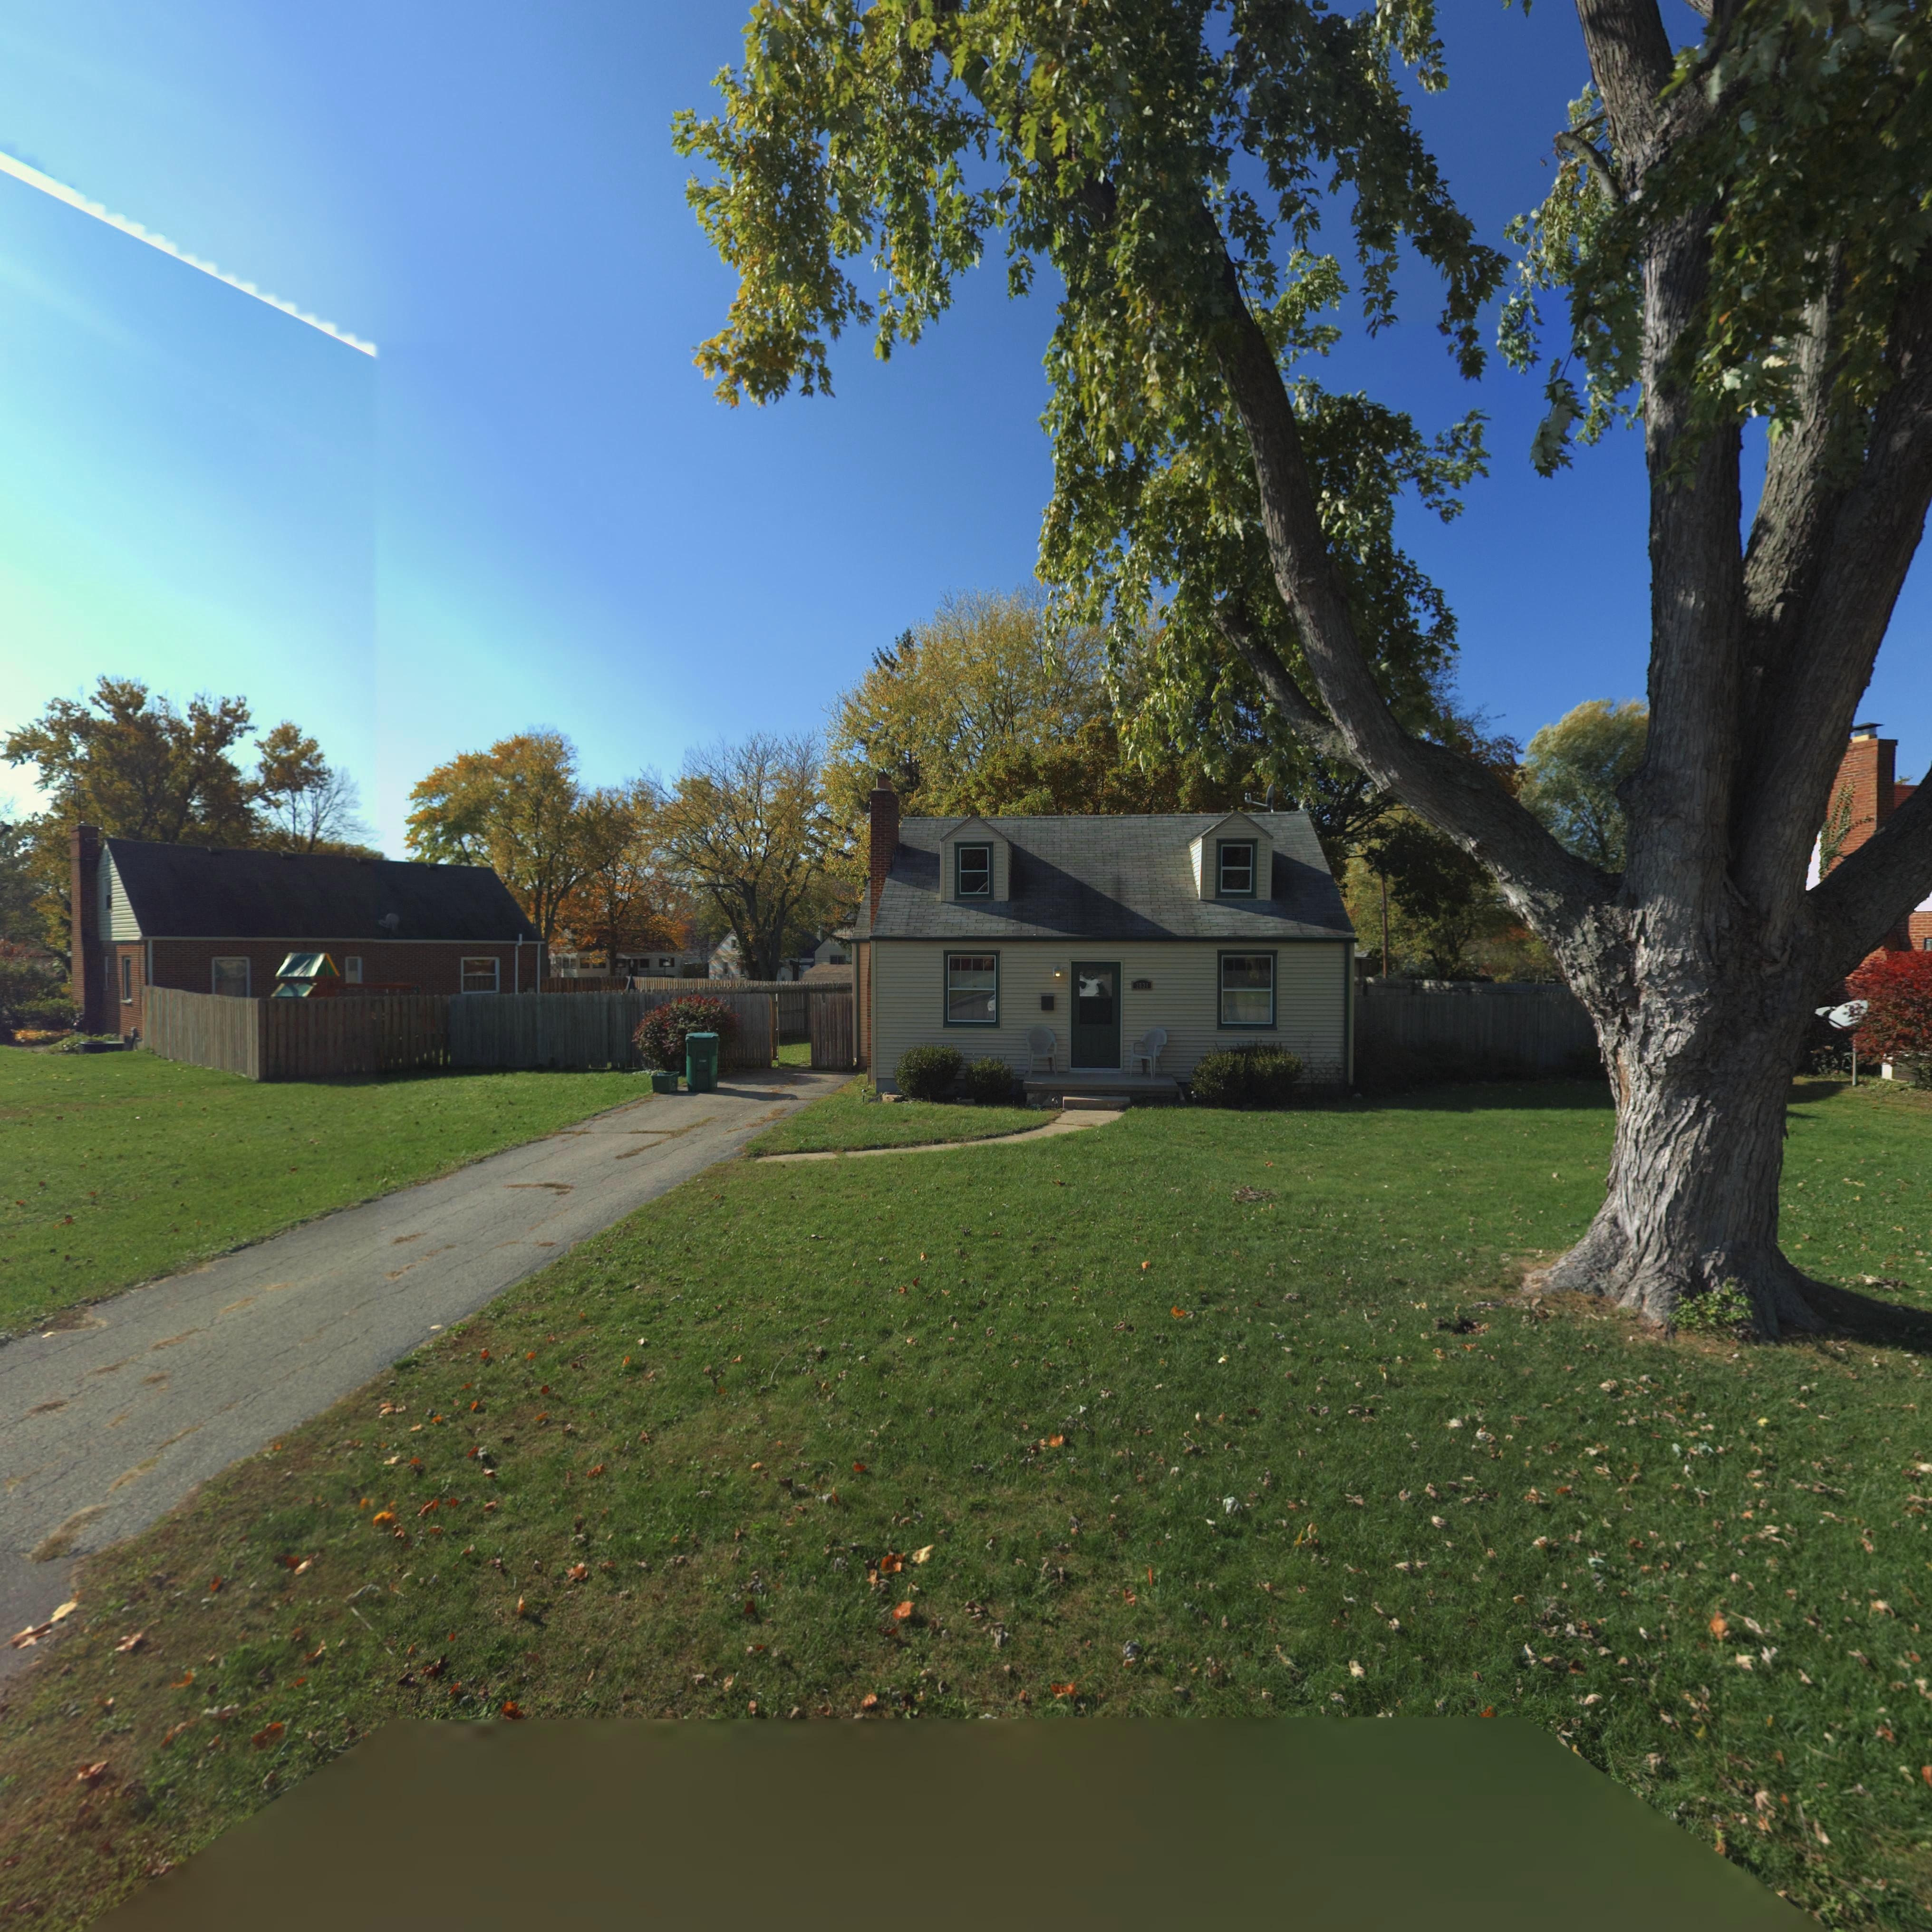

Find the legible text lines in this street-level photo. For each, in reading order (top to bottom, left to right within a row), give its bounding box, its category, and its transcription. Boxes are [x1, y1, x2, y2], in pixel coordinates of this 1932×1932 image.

[1135, 982, 1149, 989] StreetNumber: 3831